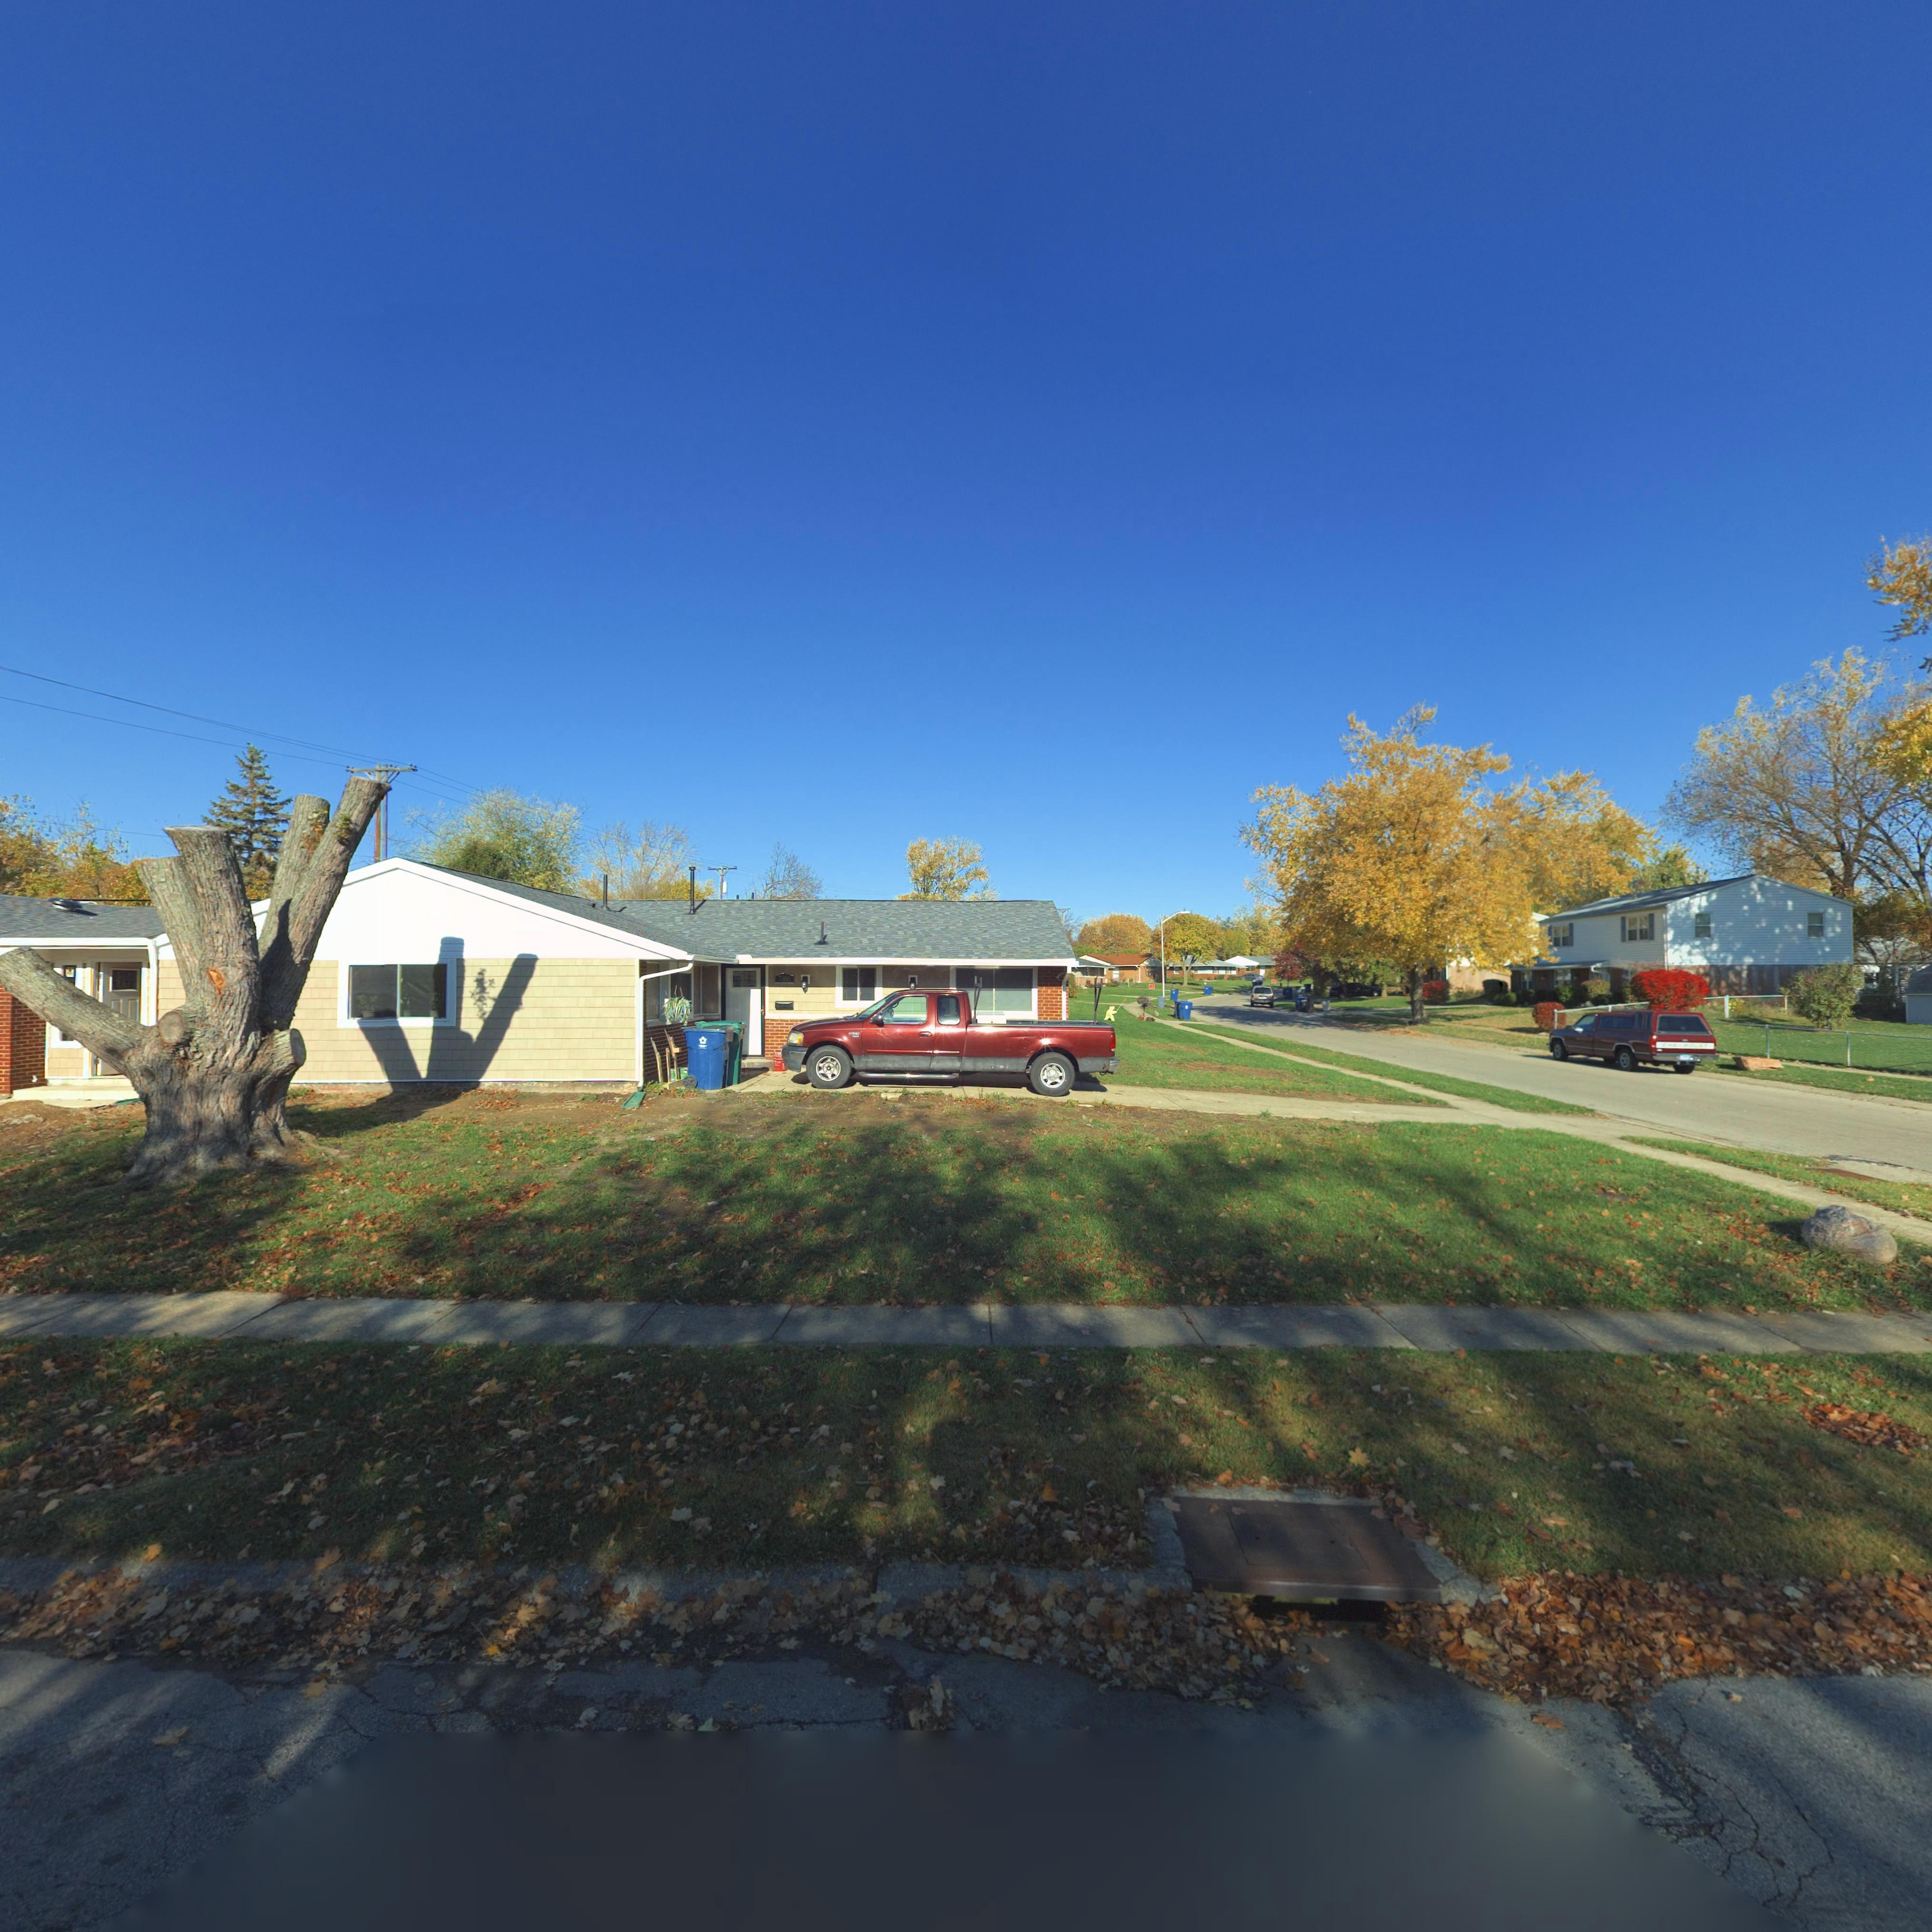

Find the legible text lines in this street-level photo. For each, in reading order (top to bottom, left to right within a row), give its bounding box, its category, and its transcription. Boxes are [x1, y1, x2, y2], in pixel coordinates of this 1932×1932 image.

[777, 975, 792, 983] StreetNumber: 7500